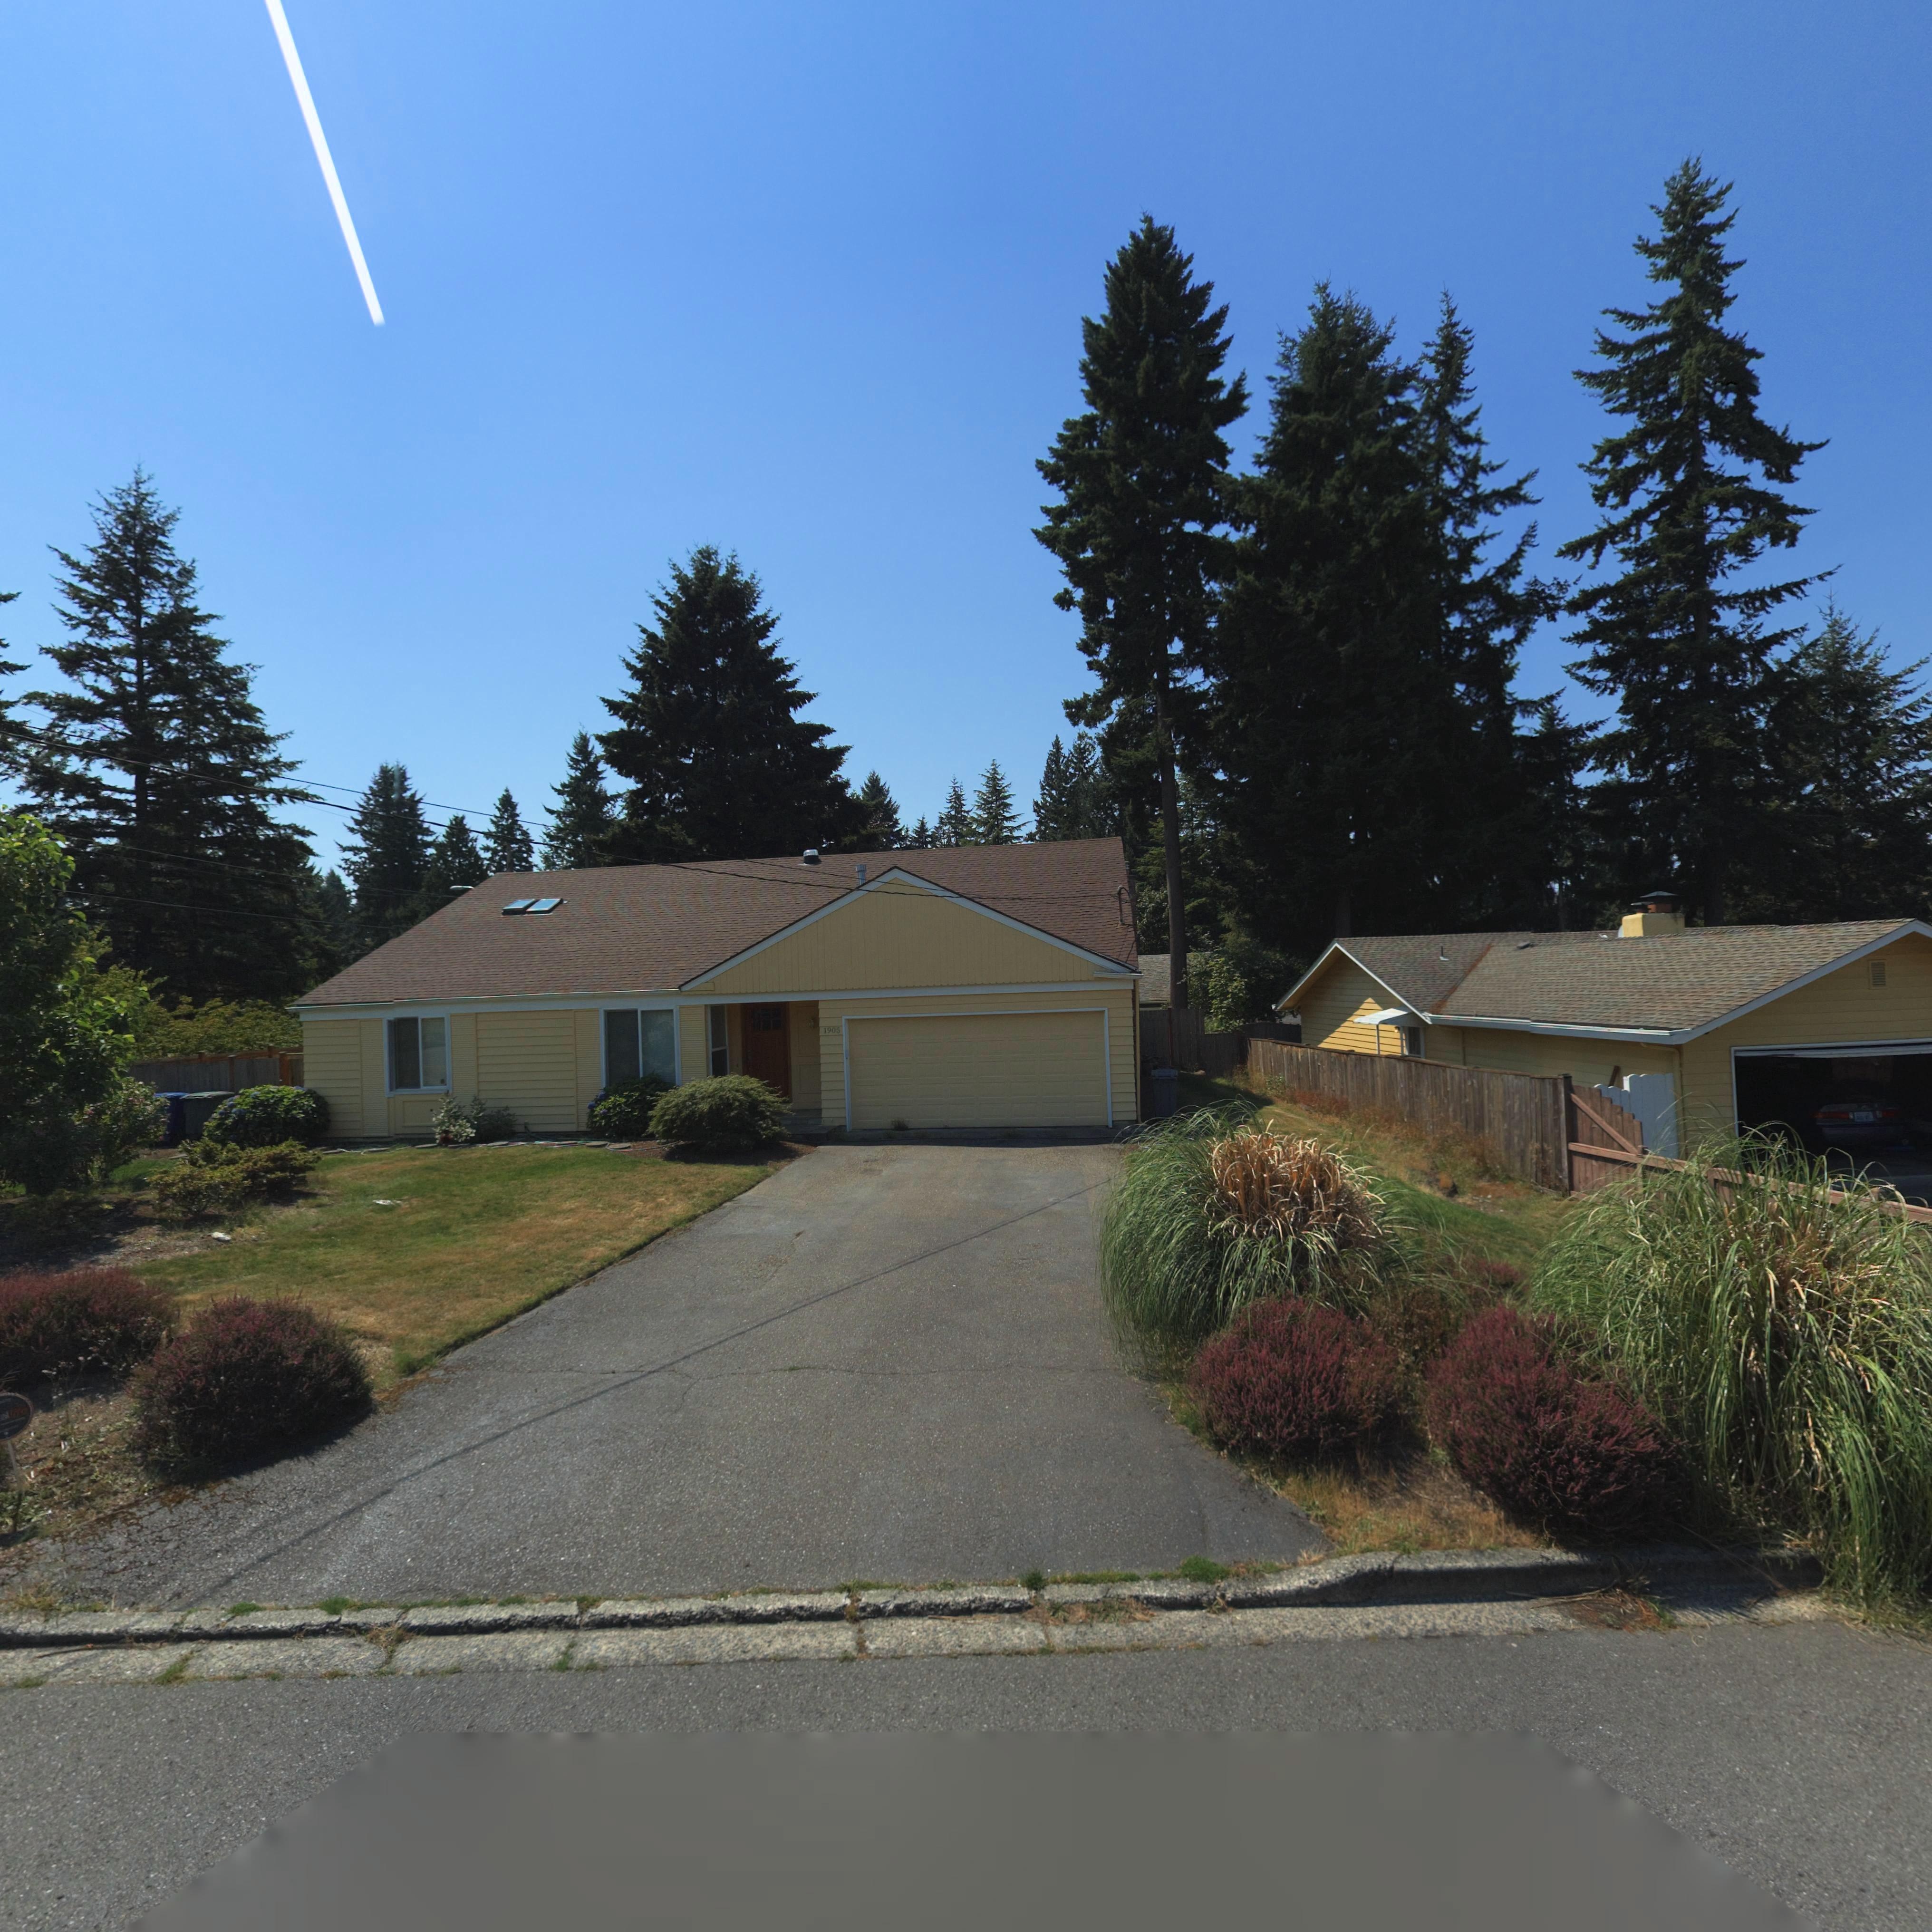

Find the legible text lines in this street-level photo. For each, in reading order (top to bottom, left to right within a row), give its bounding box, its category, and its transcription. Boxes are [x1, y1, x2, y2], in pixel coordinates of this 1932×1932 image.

[823, 1026, 840, 1034] StreetNumber: 1905